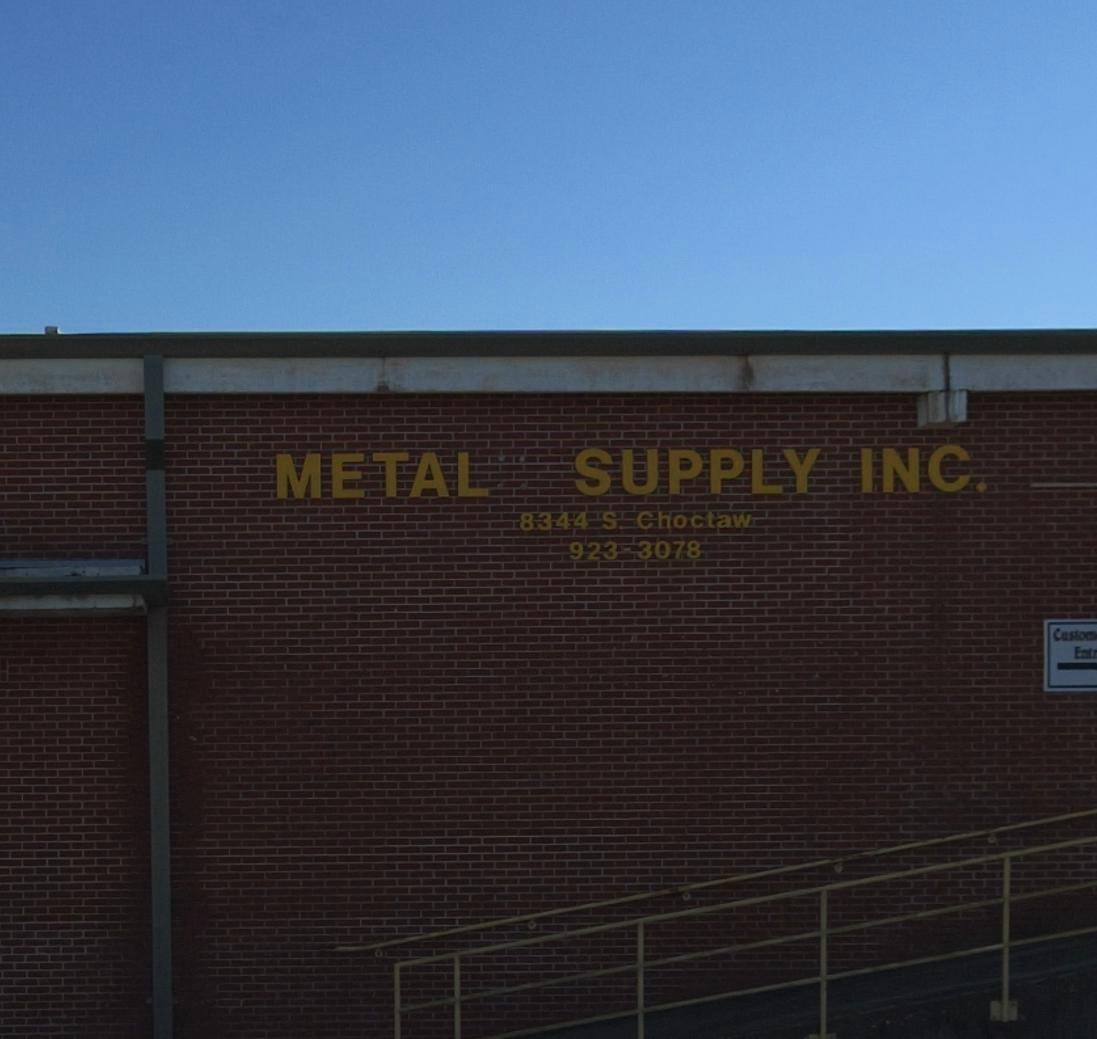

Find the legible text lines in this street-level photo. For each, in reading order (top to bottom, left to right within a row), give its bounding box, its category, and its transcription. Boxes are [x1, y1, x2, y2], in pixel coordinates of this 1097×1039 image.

[274, 443, 988, 501] BusinessName: METAL SUPPLY INC.
[518, 510, 590, 532] StreetNumber: 8344
[601, 510, 753, 531] StreetName: S. Choctaw
[568, 540, 702, 561] None: 923-3078
[1052, 627, 1096, 642] None: Custom
[1073, 645, 1093, 660] None: Ent